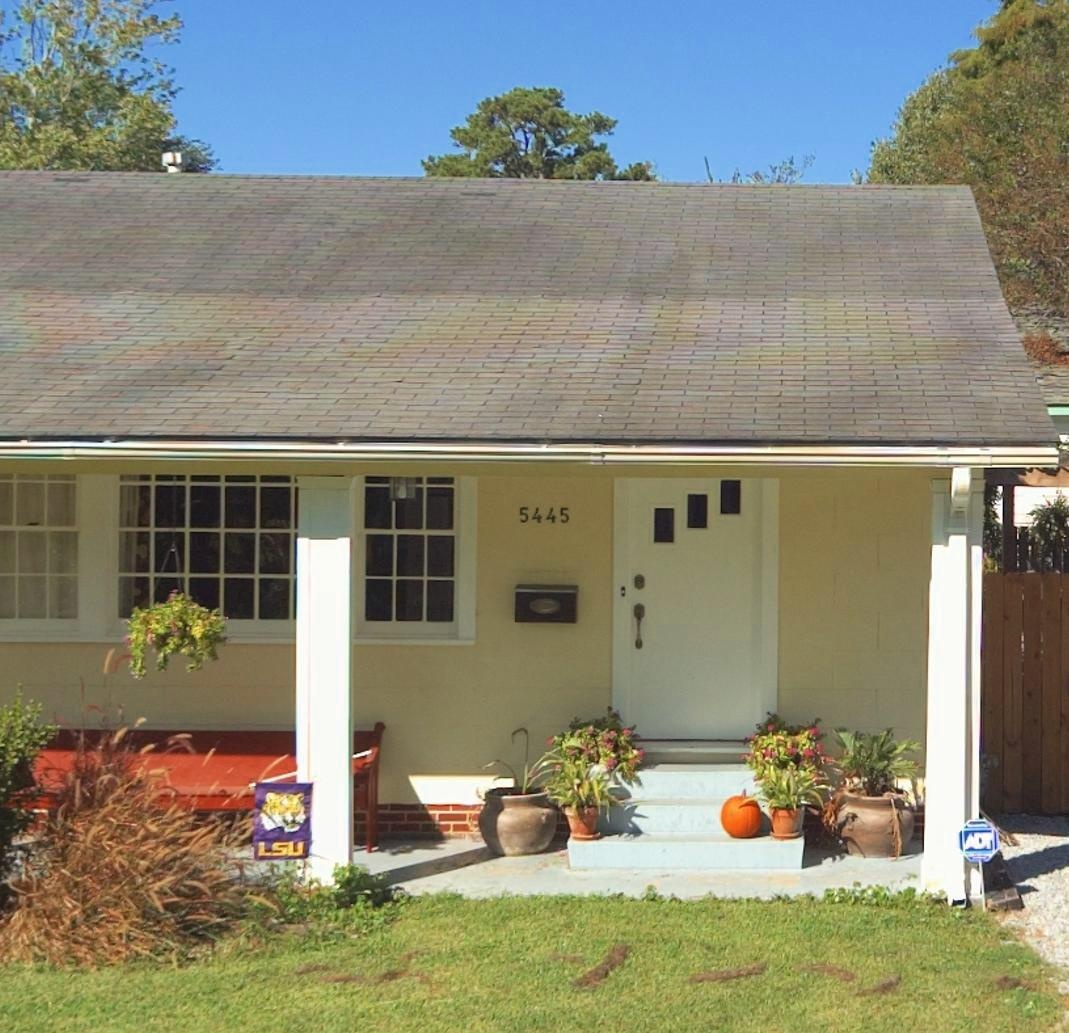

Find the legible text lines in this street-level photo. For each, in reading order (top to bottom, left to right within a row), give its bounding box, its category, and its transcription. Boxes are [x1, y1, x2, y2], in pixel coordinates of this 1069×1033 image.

[519, 506, 570, 524] StreetNumber: 5445
[256, 840, 305, 857] None: LSU
[962, 831, 995, 851] None: ADT